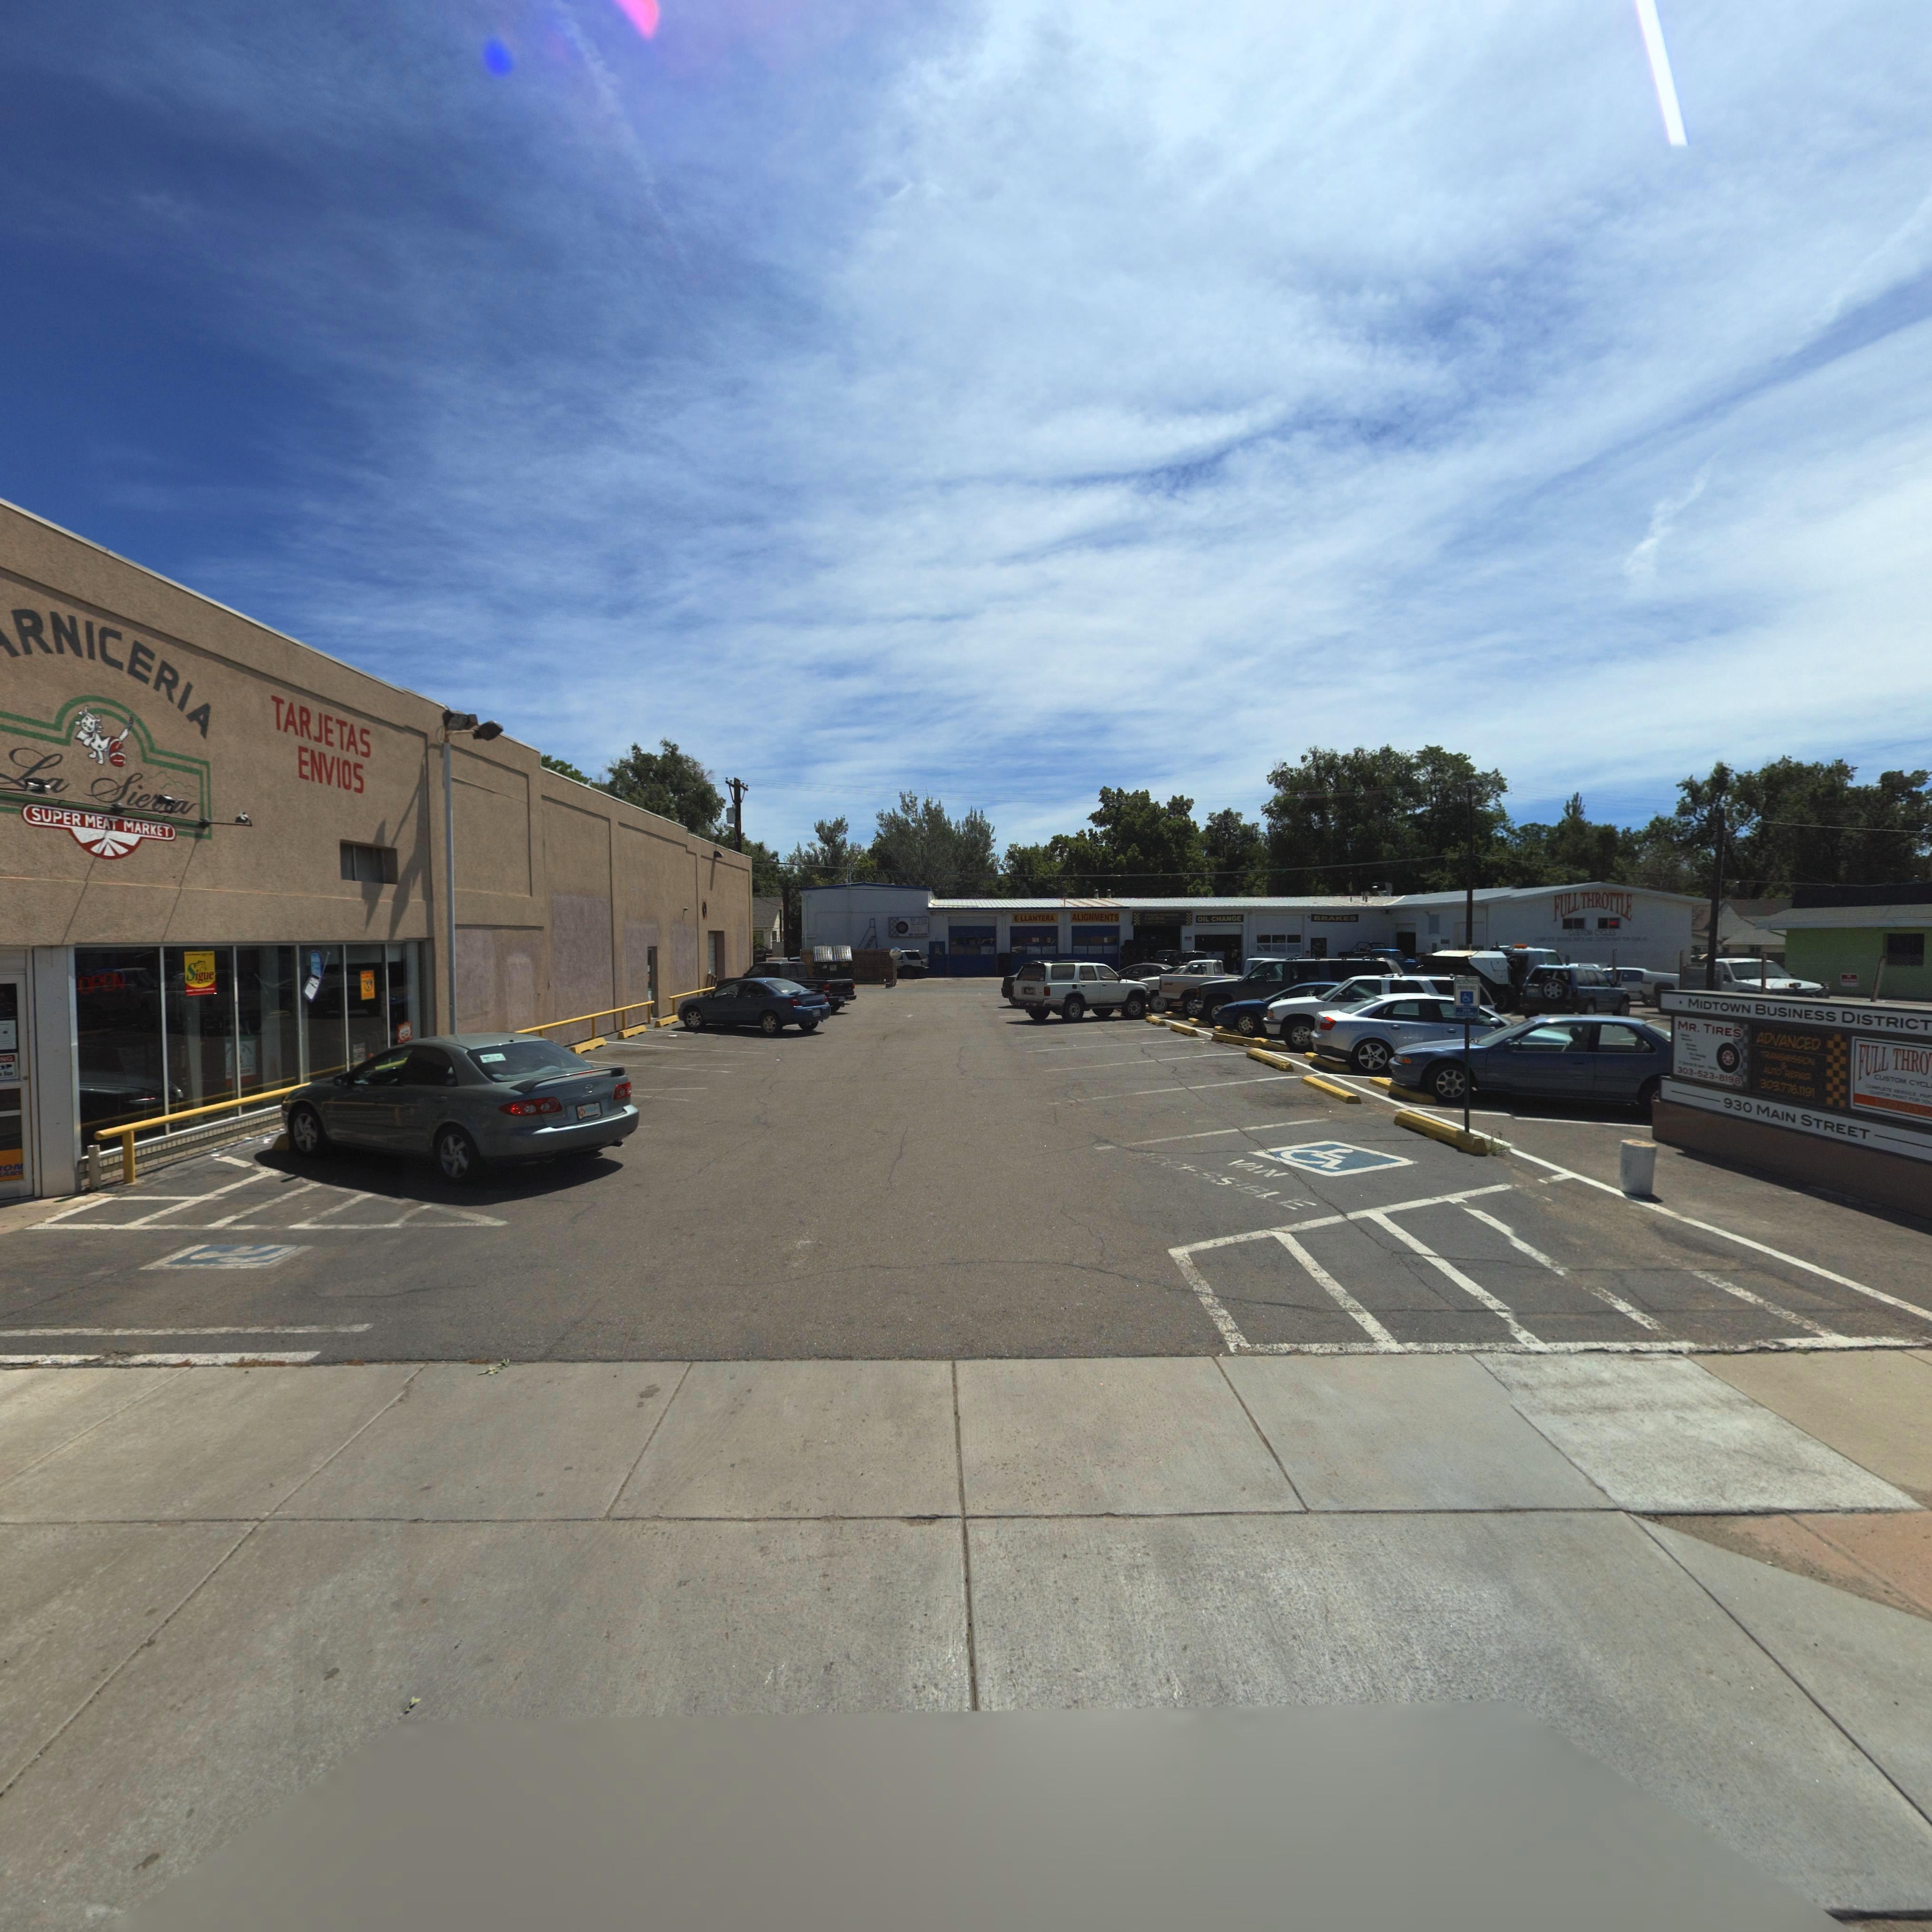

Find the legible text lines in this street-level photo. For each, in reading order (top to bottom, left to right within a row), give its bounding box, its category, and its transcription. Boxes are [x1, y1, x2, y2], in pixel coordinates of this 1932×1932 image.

[10, 608, 213, 741] BusinessName: RNICERIA
[3, 751, 203, 814] BusinessName: La Sie**a
[909, 917, 927, 922] BusinessName: MR. TIRES
[1554, 892, 1632, 922] BusinessName: FULL THROTTLE
[1678, 1020, 1741, 1038] BusinessName: Mr. Tires
[1754, 1031, 1821, 1051] BusinessName: ADVANCED
[1858, 1043, 1929, 1081] BusinessName: FULL THRO
[1723, 1097, 1752, 1113] StreetNumber: 930
[1755, 1102, 1871, 1140] StreetName: MAIN STREET